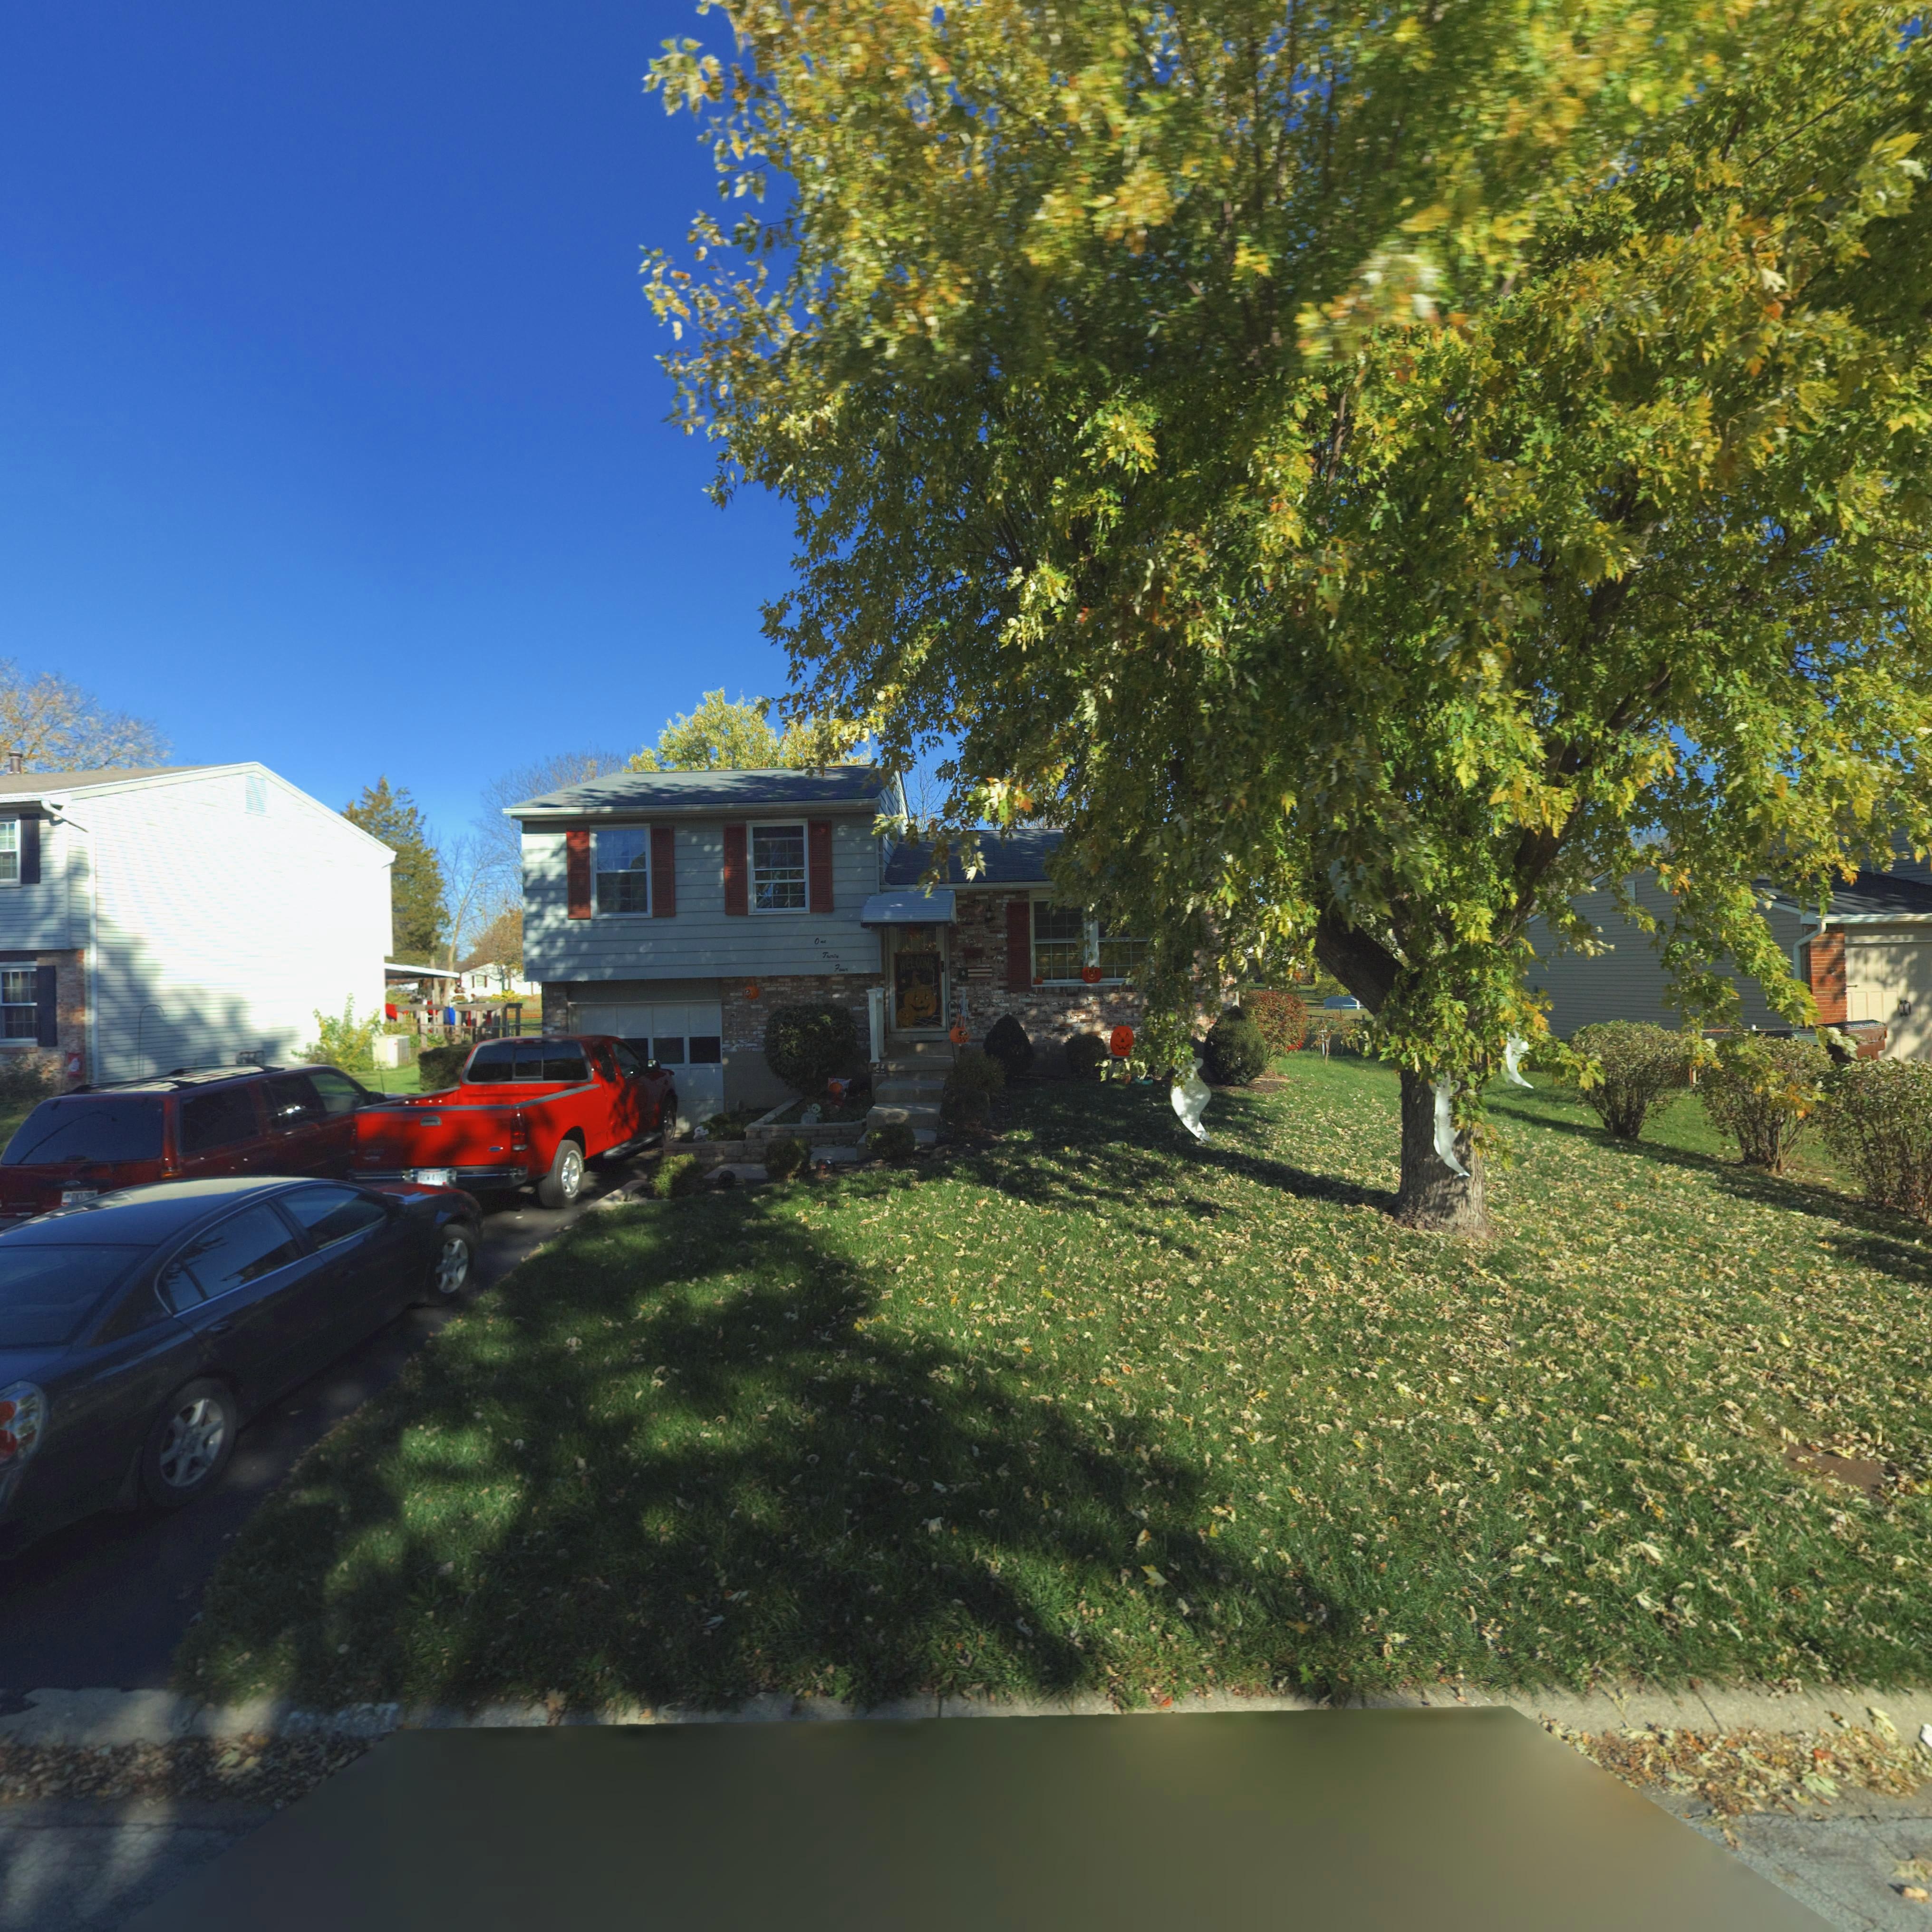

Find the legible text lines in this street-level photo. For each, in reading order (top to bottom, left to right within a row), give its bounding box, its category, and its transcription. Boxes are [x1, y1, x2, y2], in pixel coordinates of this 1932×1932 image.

[814, 937, 827, 945] StreetNumber: One
[822, 951, 840, 959] StreetNumber: Thirty
[834, 963, 849, 973] StreetNumber: Four